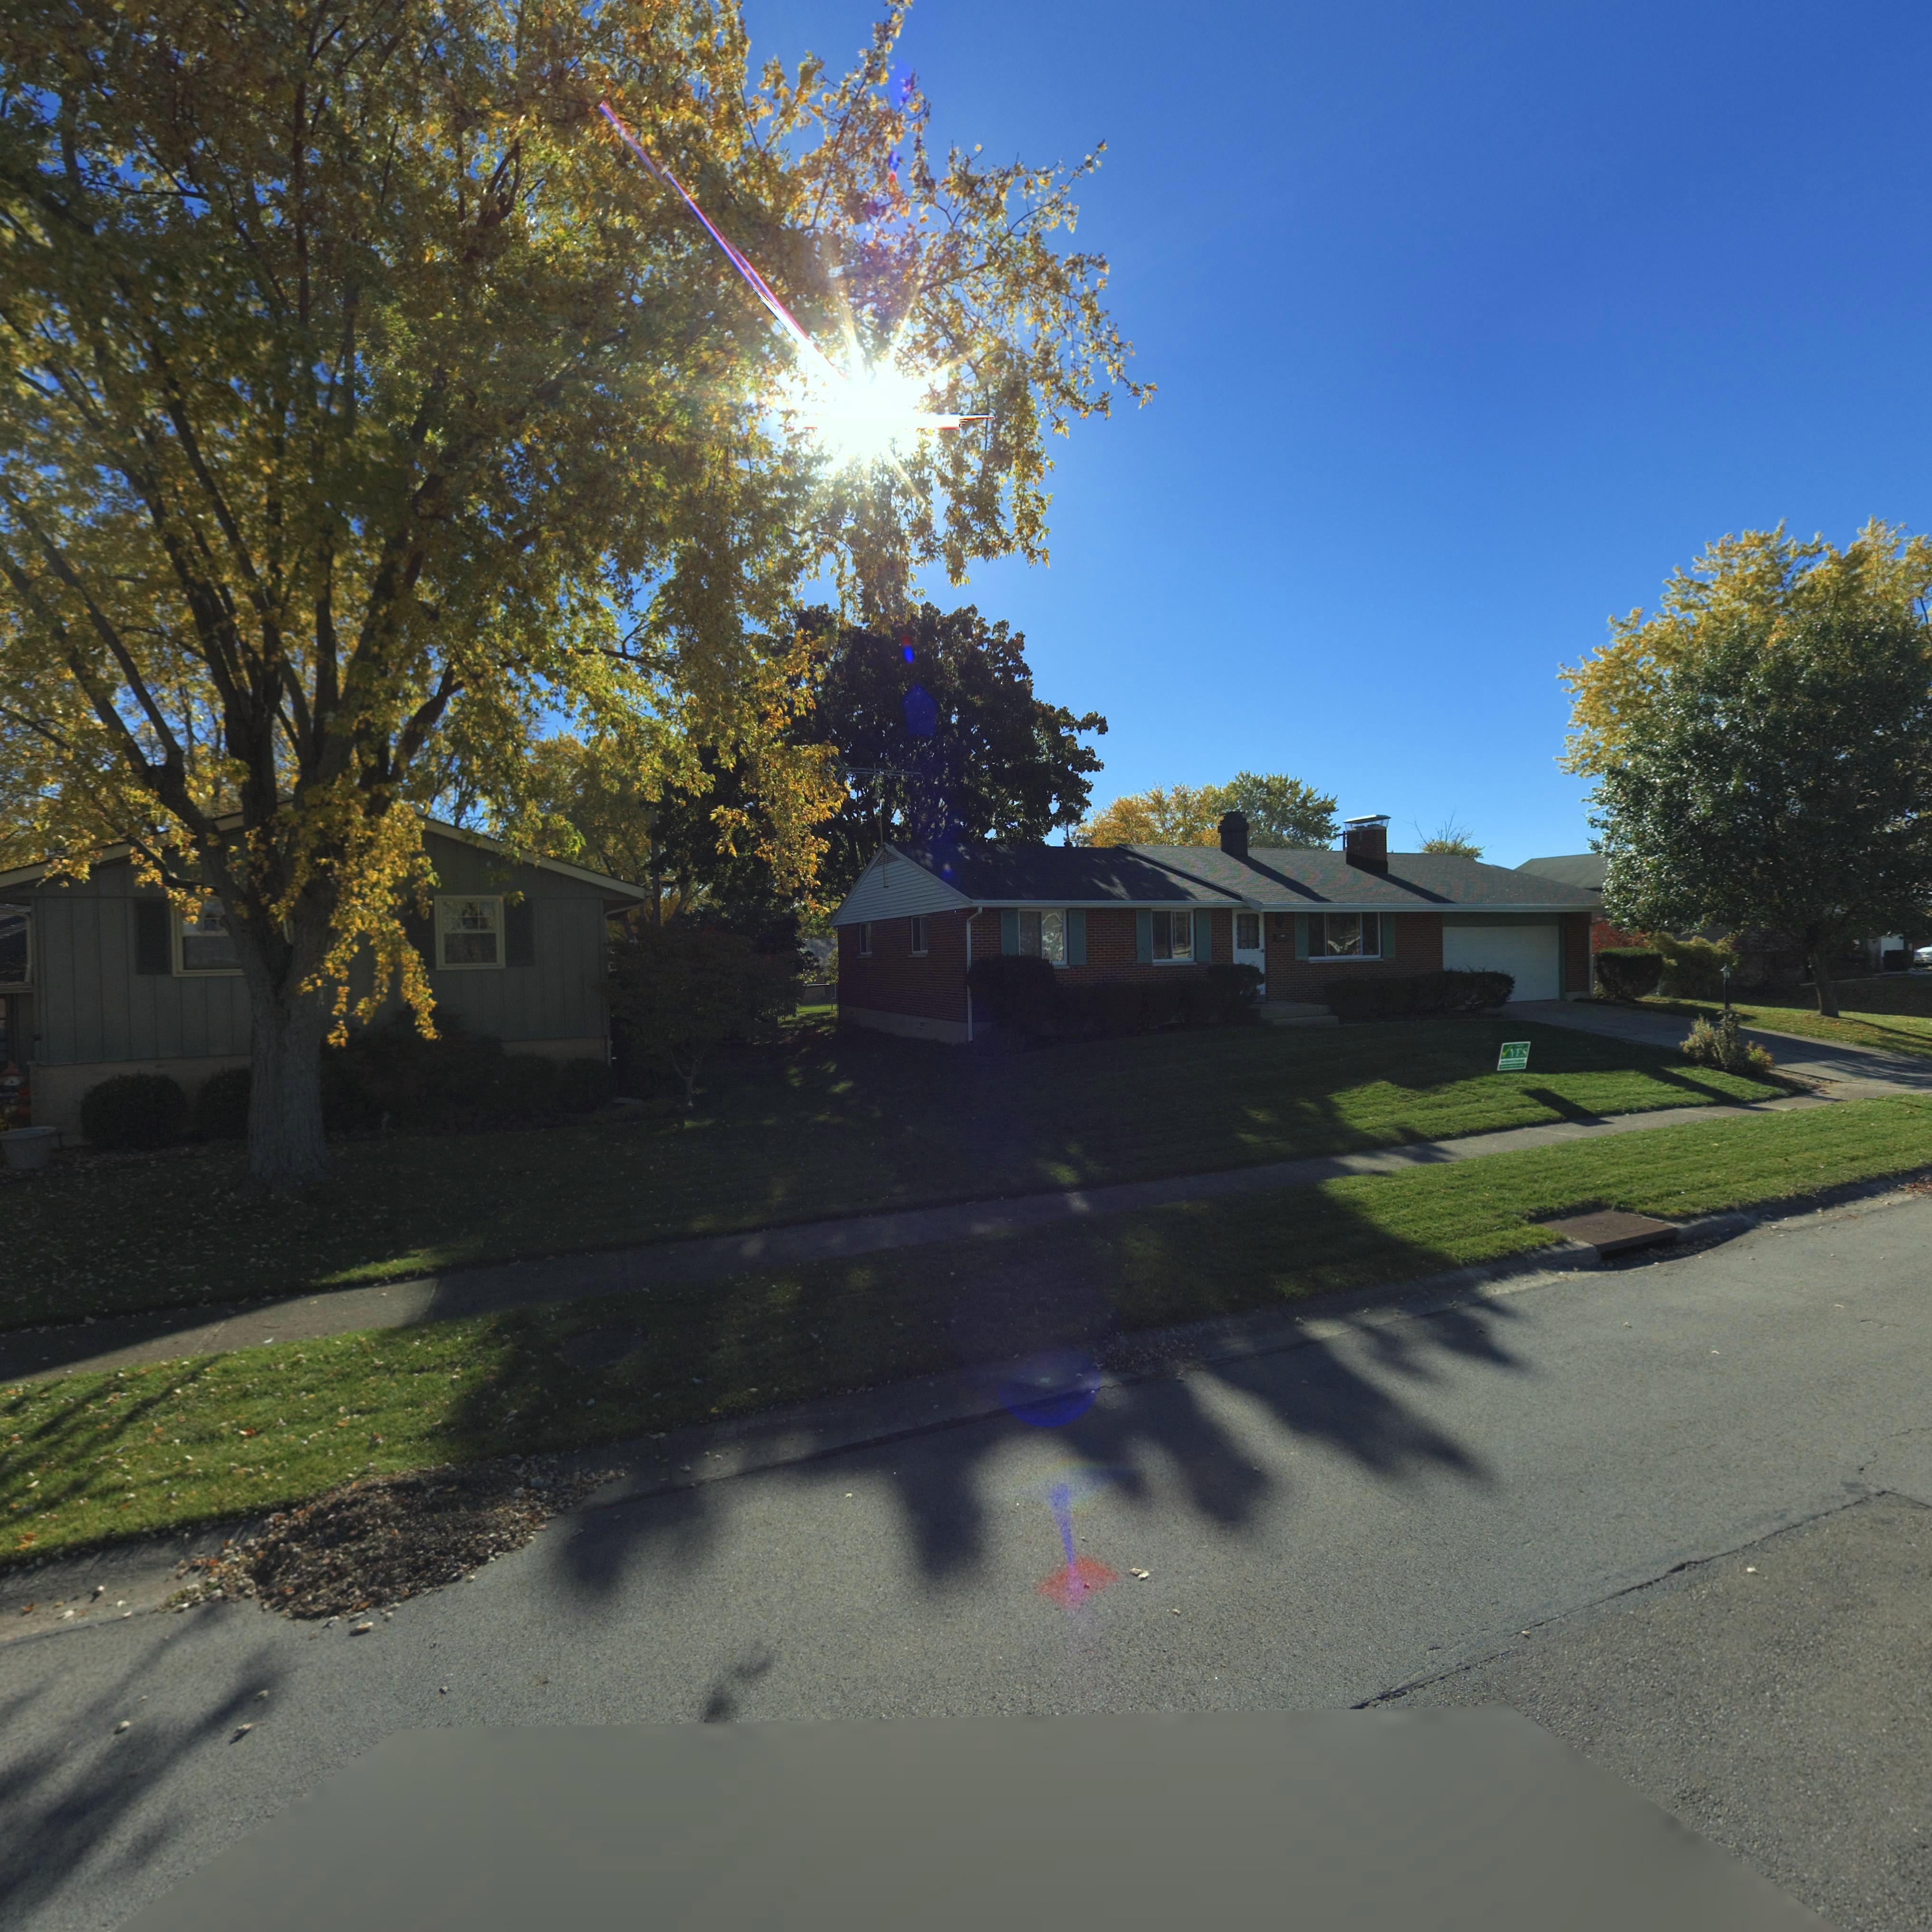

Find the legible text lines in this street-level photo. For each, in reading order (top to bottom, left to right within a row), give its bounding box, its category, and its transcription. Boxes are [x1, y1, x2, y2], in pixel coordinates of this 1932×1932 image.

[1296, 956, 1307, 960] StreetNumber: *413